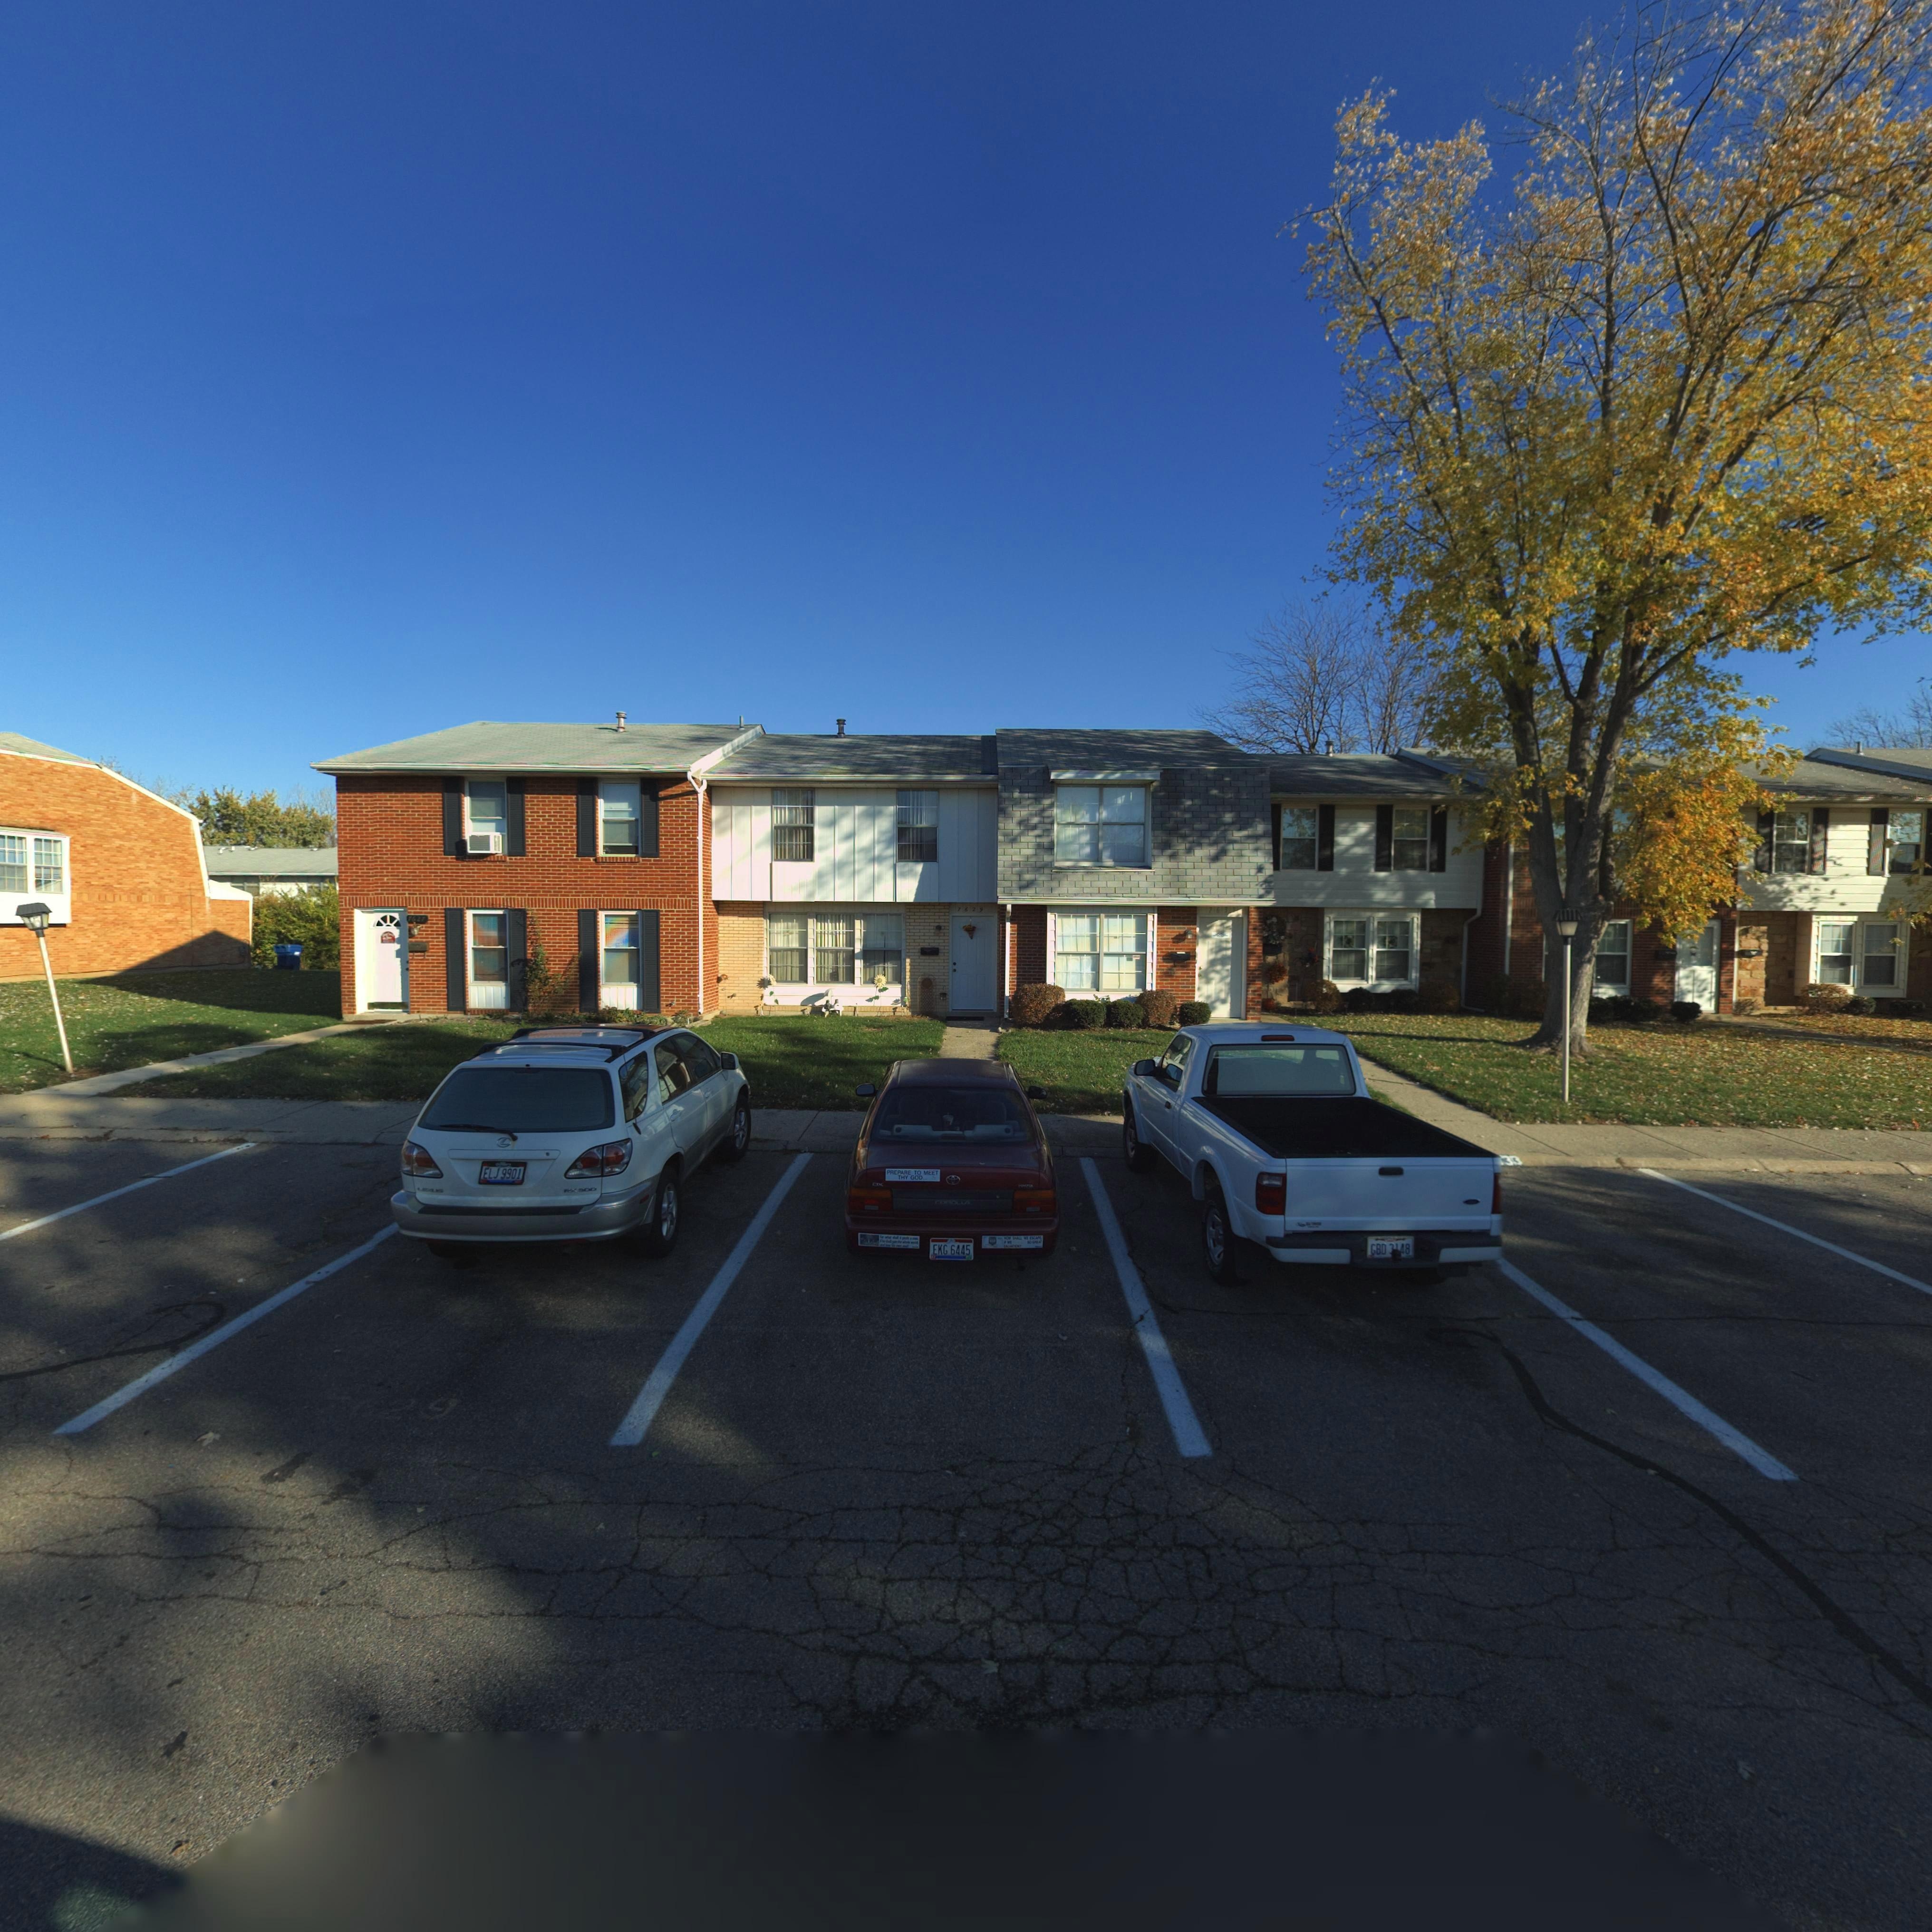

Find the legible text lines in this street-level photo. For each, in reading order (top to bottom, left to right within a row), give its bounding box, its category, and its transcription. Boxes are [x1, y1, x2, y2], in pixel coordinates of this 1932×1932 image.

[956, 907, 984, 913] StreetNumber: 7629
[1208, 906, 1236, 914] StreetNumber: 7631
[407, 916, 426, 922] StreetNumber: 7627
[309, 1393, 464, 1423] StreetNumber: 7629
[1363, 1414, 1455, 1444] StreetNumber: 76